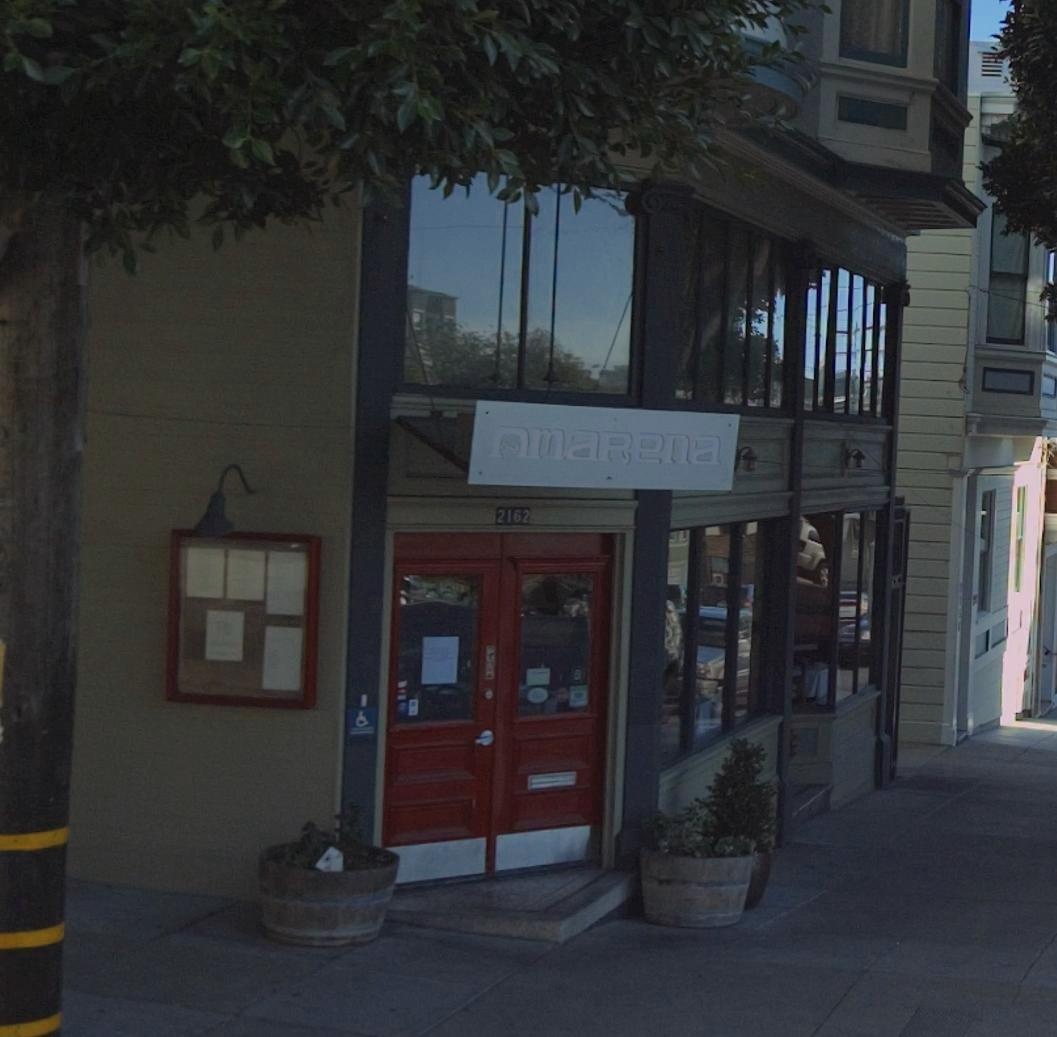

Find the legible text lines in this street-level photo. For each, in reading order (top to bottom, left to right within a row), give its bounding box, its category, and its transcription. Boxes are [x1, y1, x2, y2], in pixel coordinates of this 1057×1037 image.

[485, 424, 726, 467] BusinessName: AmaRena
[495, 508, 531, 525] StreetNumber: 2162
[485, 647, 495, 678] None: PUSH